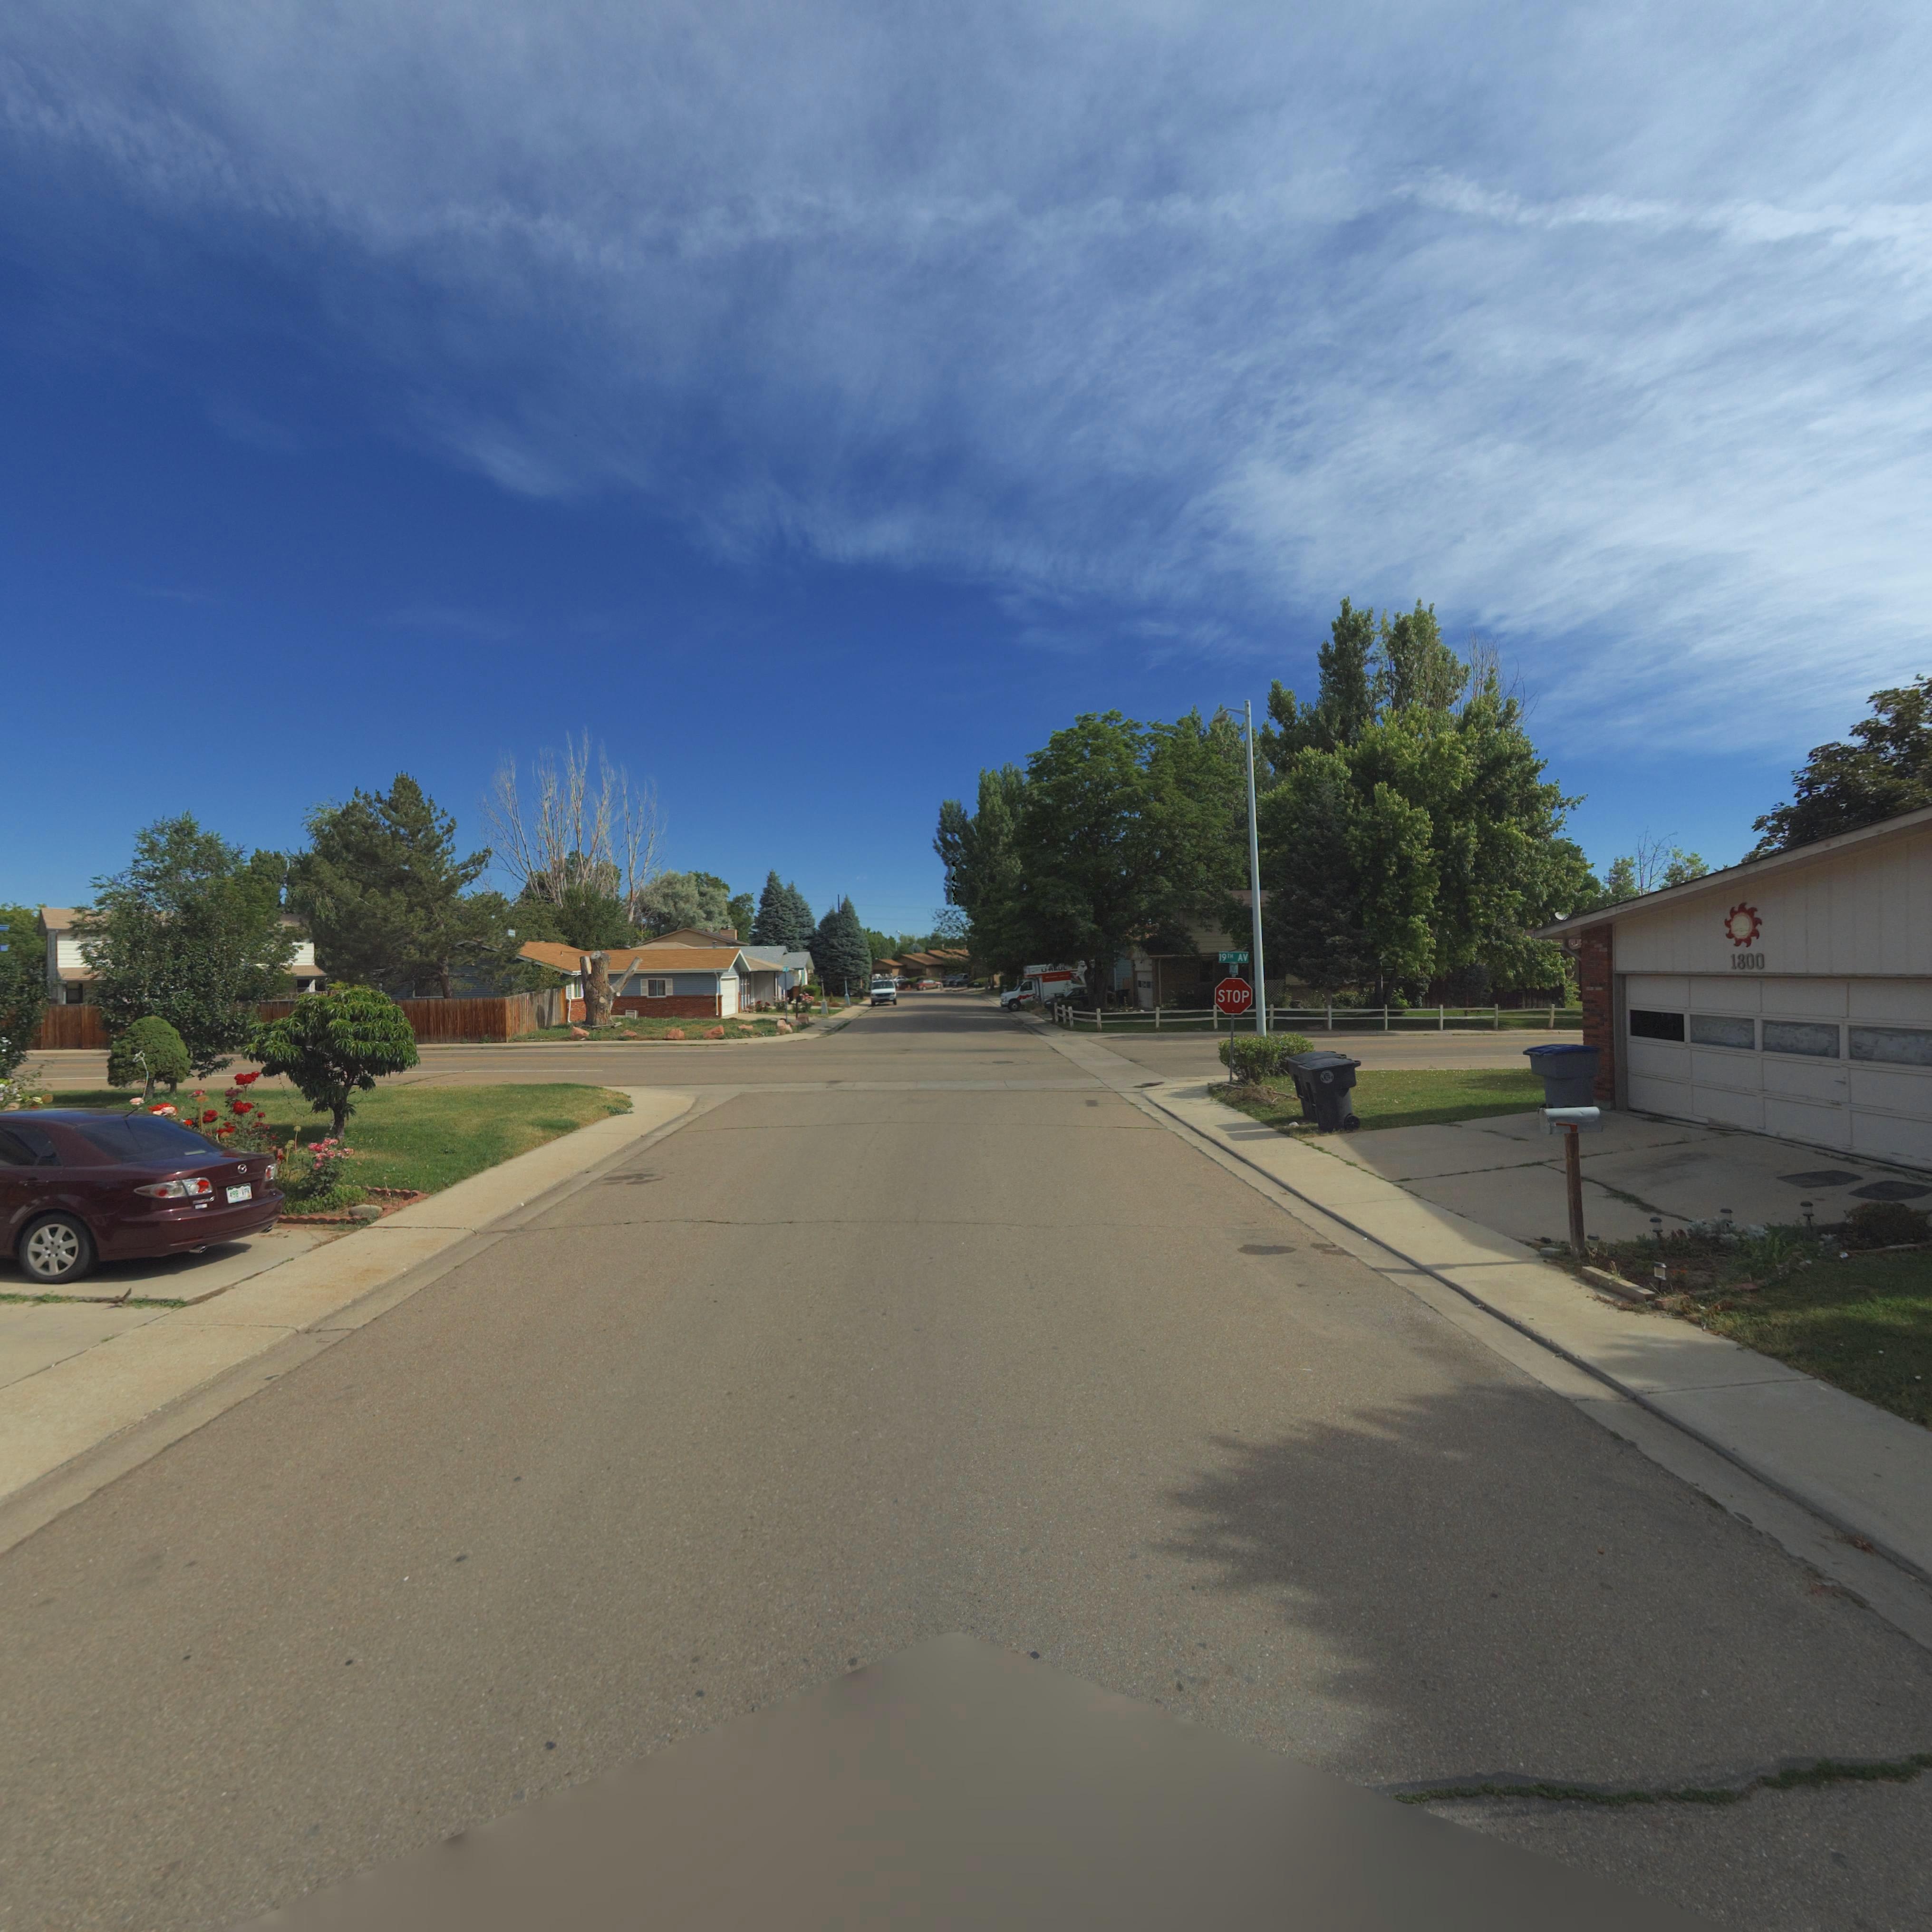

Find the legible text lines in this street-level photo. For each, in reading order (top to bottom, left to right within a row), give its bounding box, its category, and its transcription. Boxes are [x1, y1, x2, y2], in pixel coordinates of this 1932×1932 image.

[1218, 953, 1248, 962] StreetName: 19TH AV
[1729, 952, 1765, 970] StreetNumber: 1800